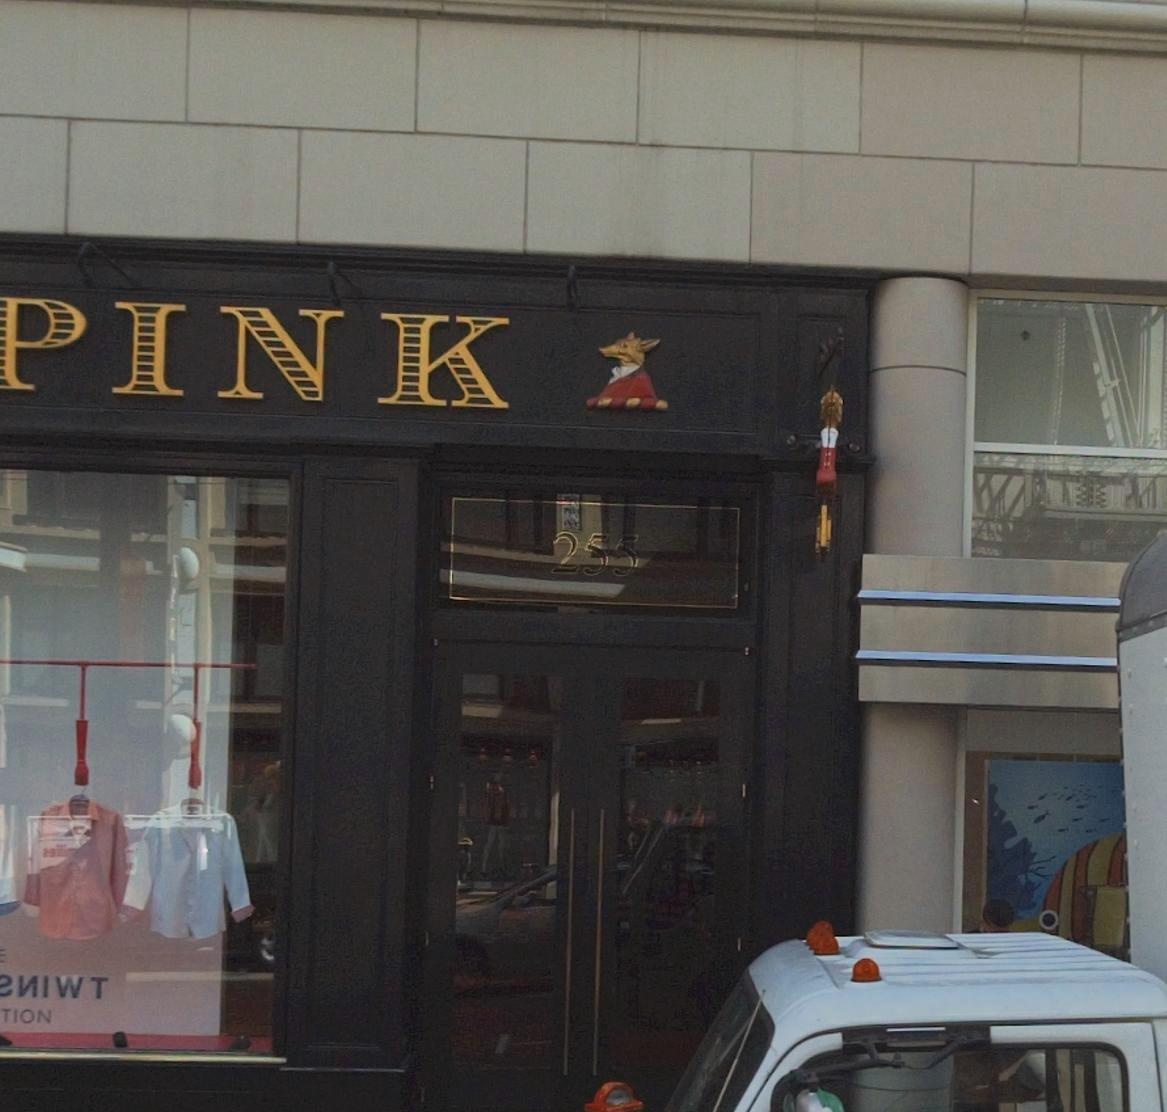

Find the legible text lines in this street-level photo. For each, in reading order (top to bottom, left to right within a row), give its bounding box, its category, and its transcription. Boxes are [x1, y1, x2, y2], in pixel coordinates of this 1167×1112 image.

[106, 298, 520, 415] BusinessName: INK
[548, 530, 642, 578] StreetNumber: 255